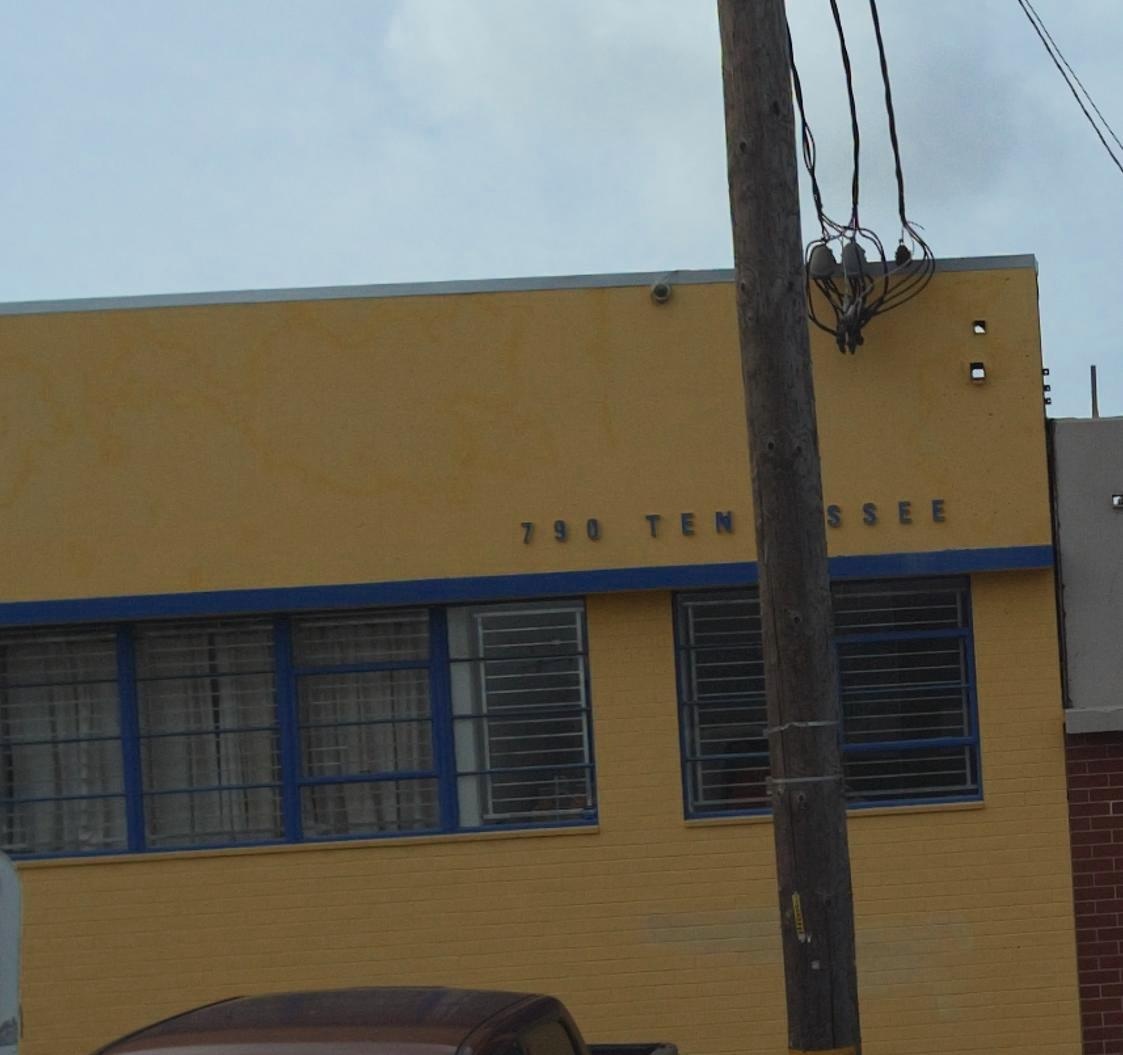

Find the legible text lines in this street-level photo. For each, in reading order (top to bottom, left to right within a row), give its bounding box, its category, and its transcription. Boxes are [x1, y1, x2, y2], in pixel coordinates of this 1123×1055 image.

[514, 516, 601, 545] StreetNumber: 790
[642, 497, 948, 540] StreetName: TEN**SSEE